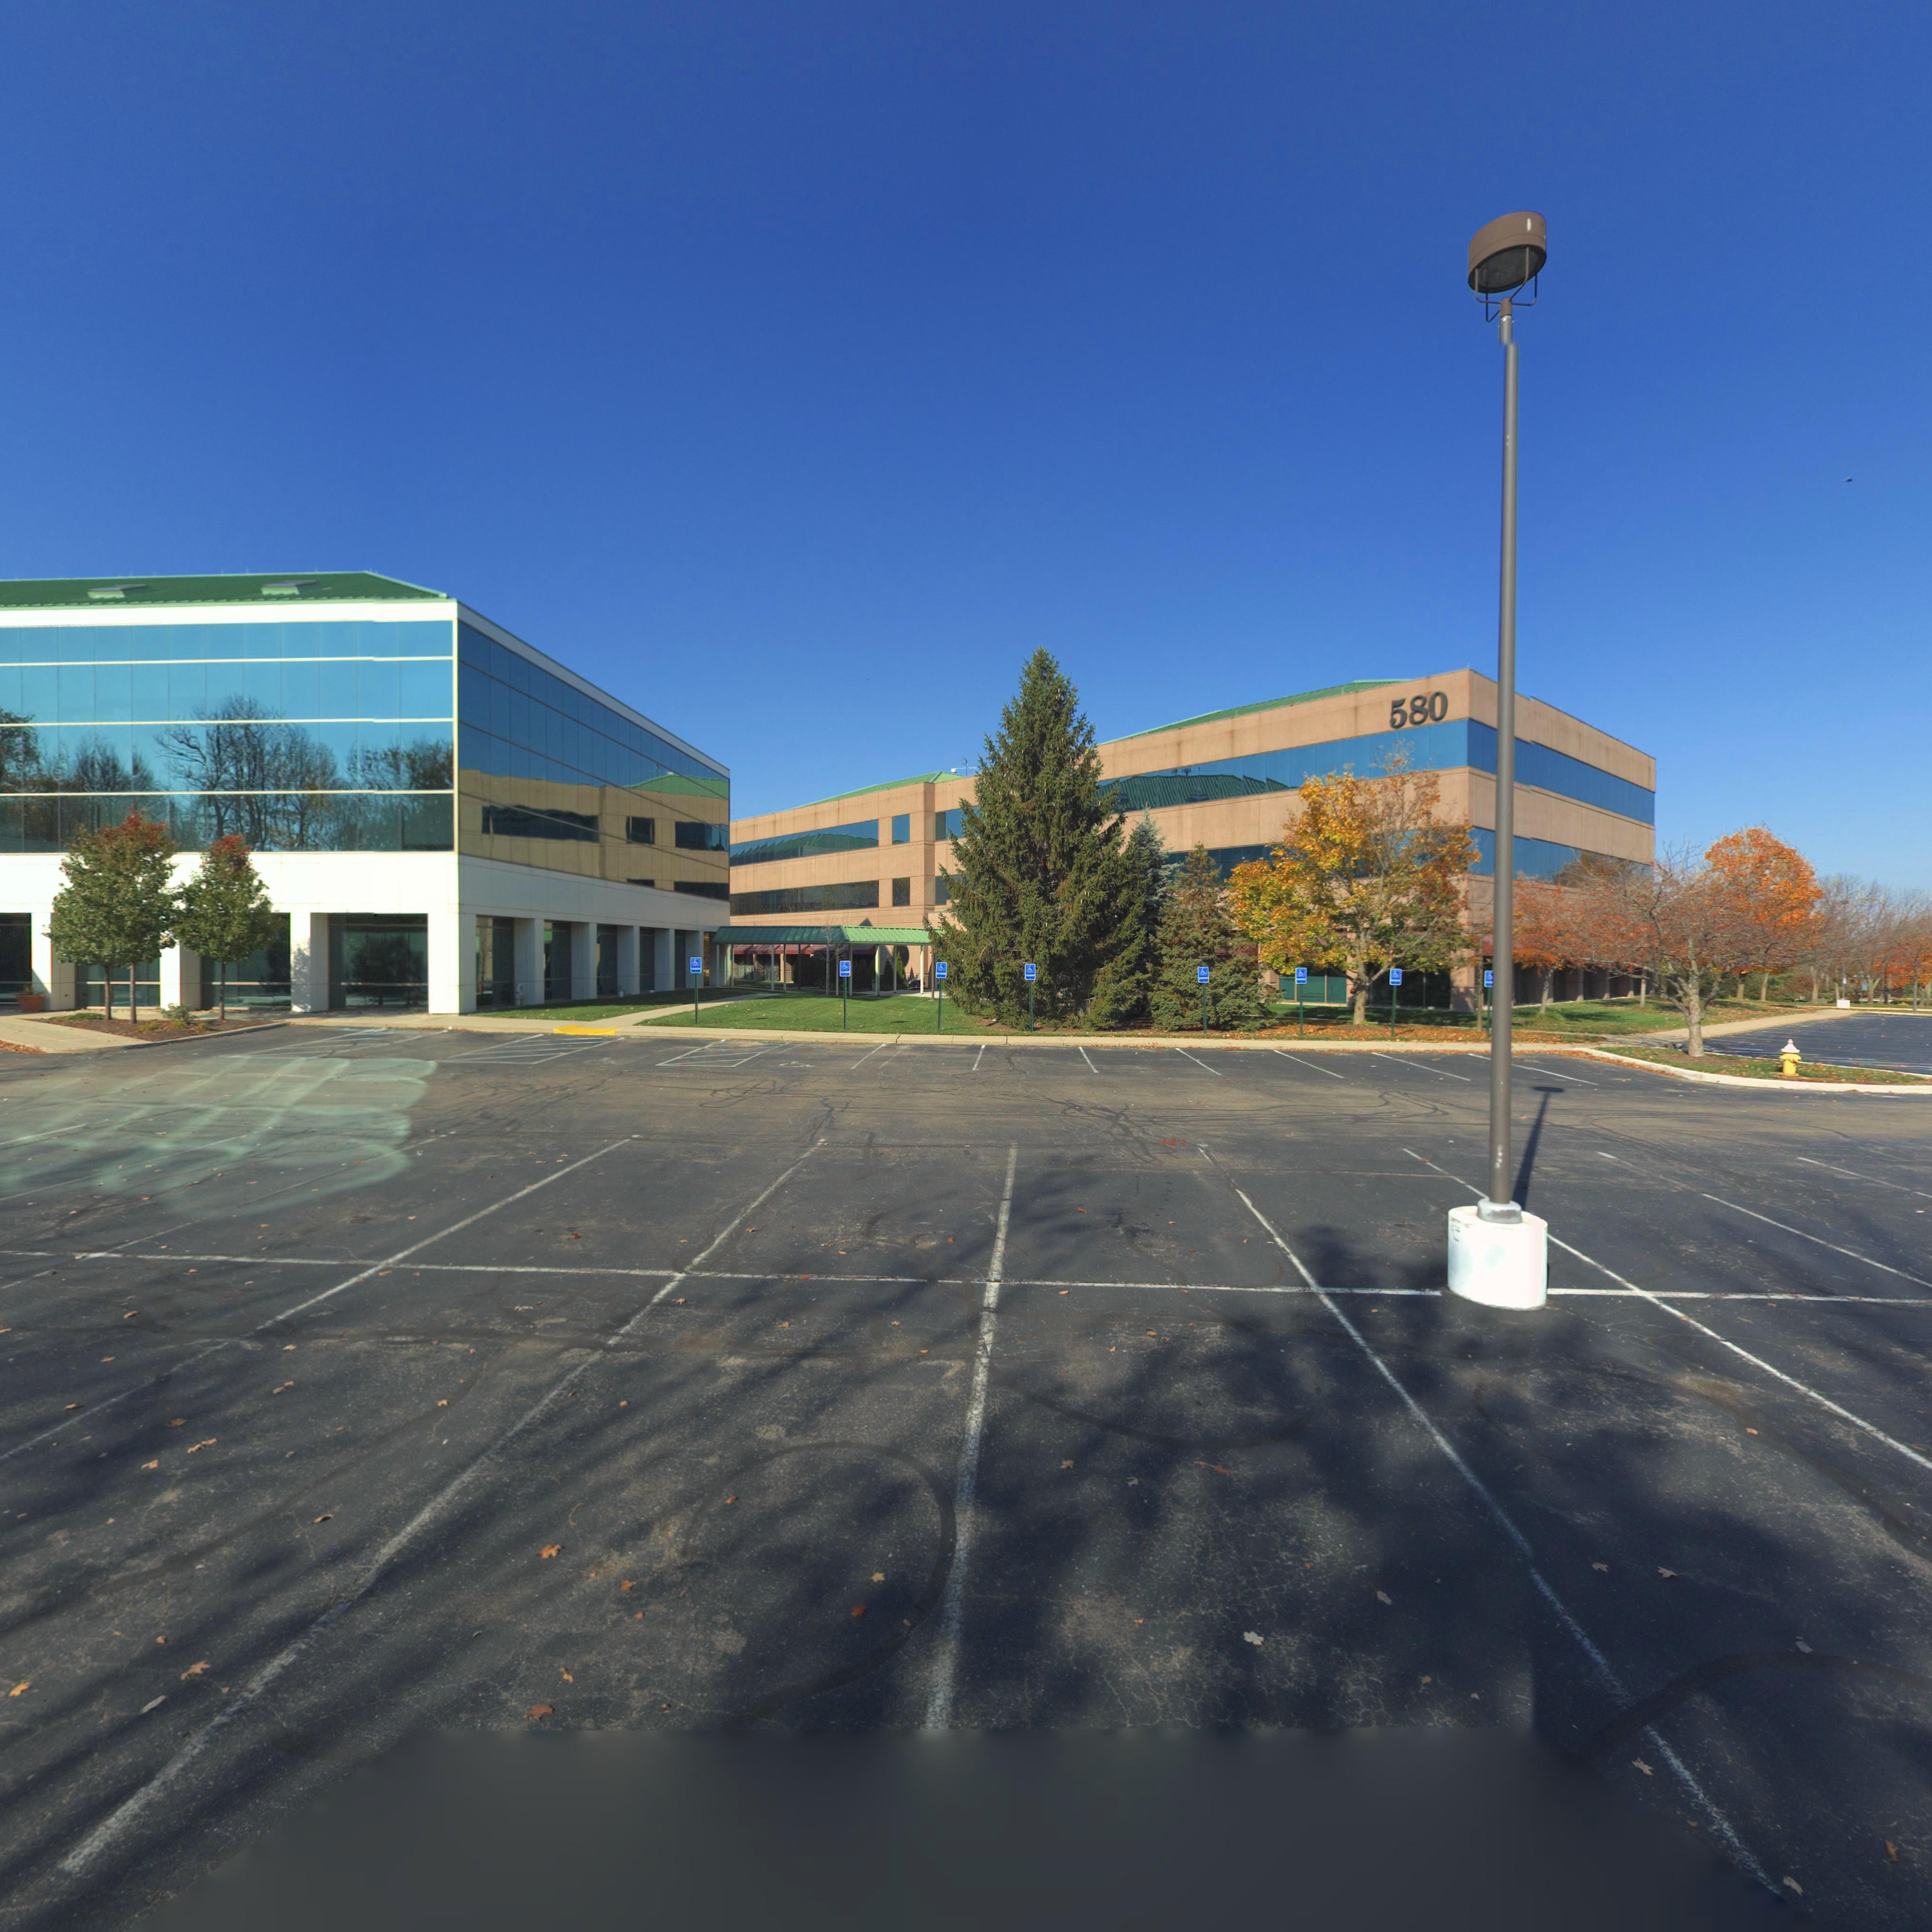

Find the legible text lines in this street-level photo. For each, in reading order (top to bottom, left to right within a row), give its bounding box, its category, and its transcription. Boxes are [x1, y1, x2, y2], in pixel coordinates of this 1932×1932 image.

[1389, 689, 1449, 730] StreetNumber: 580